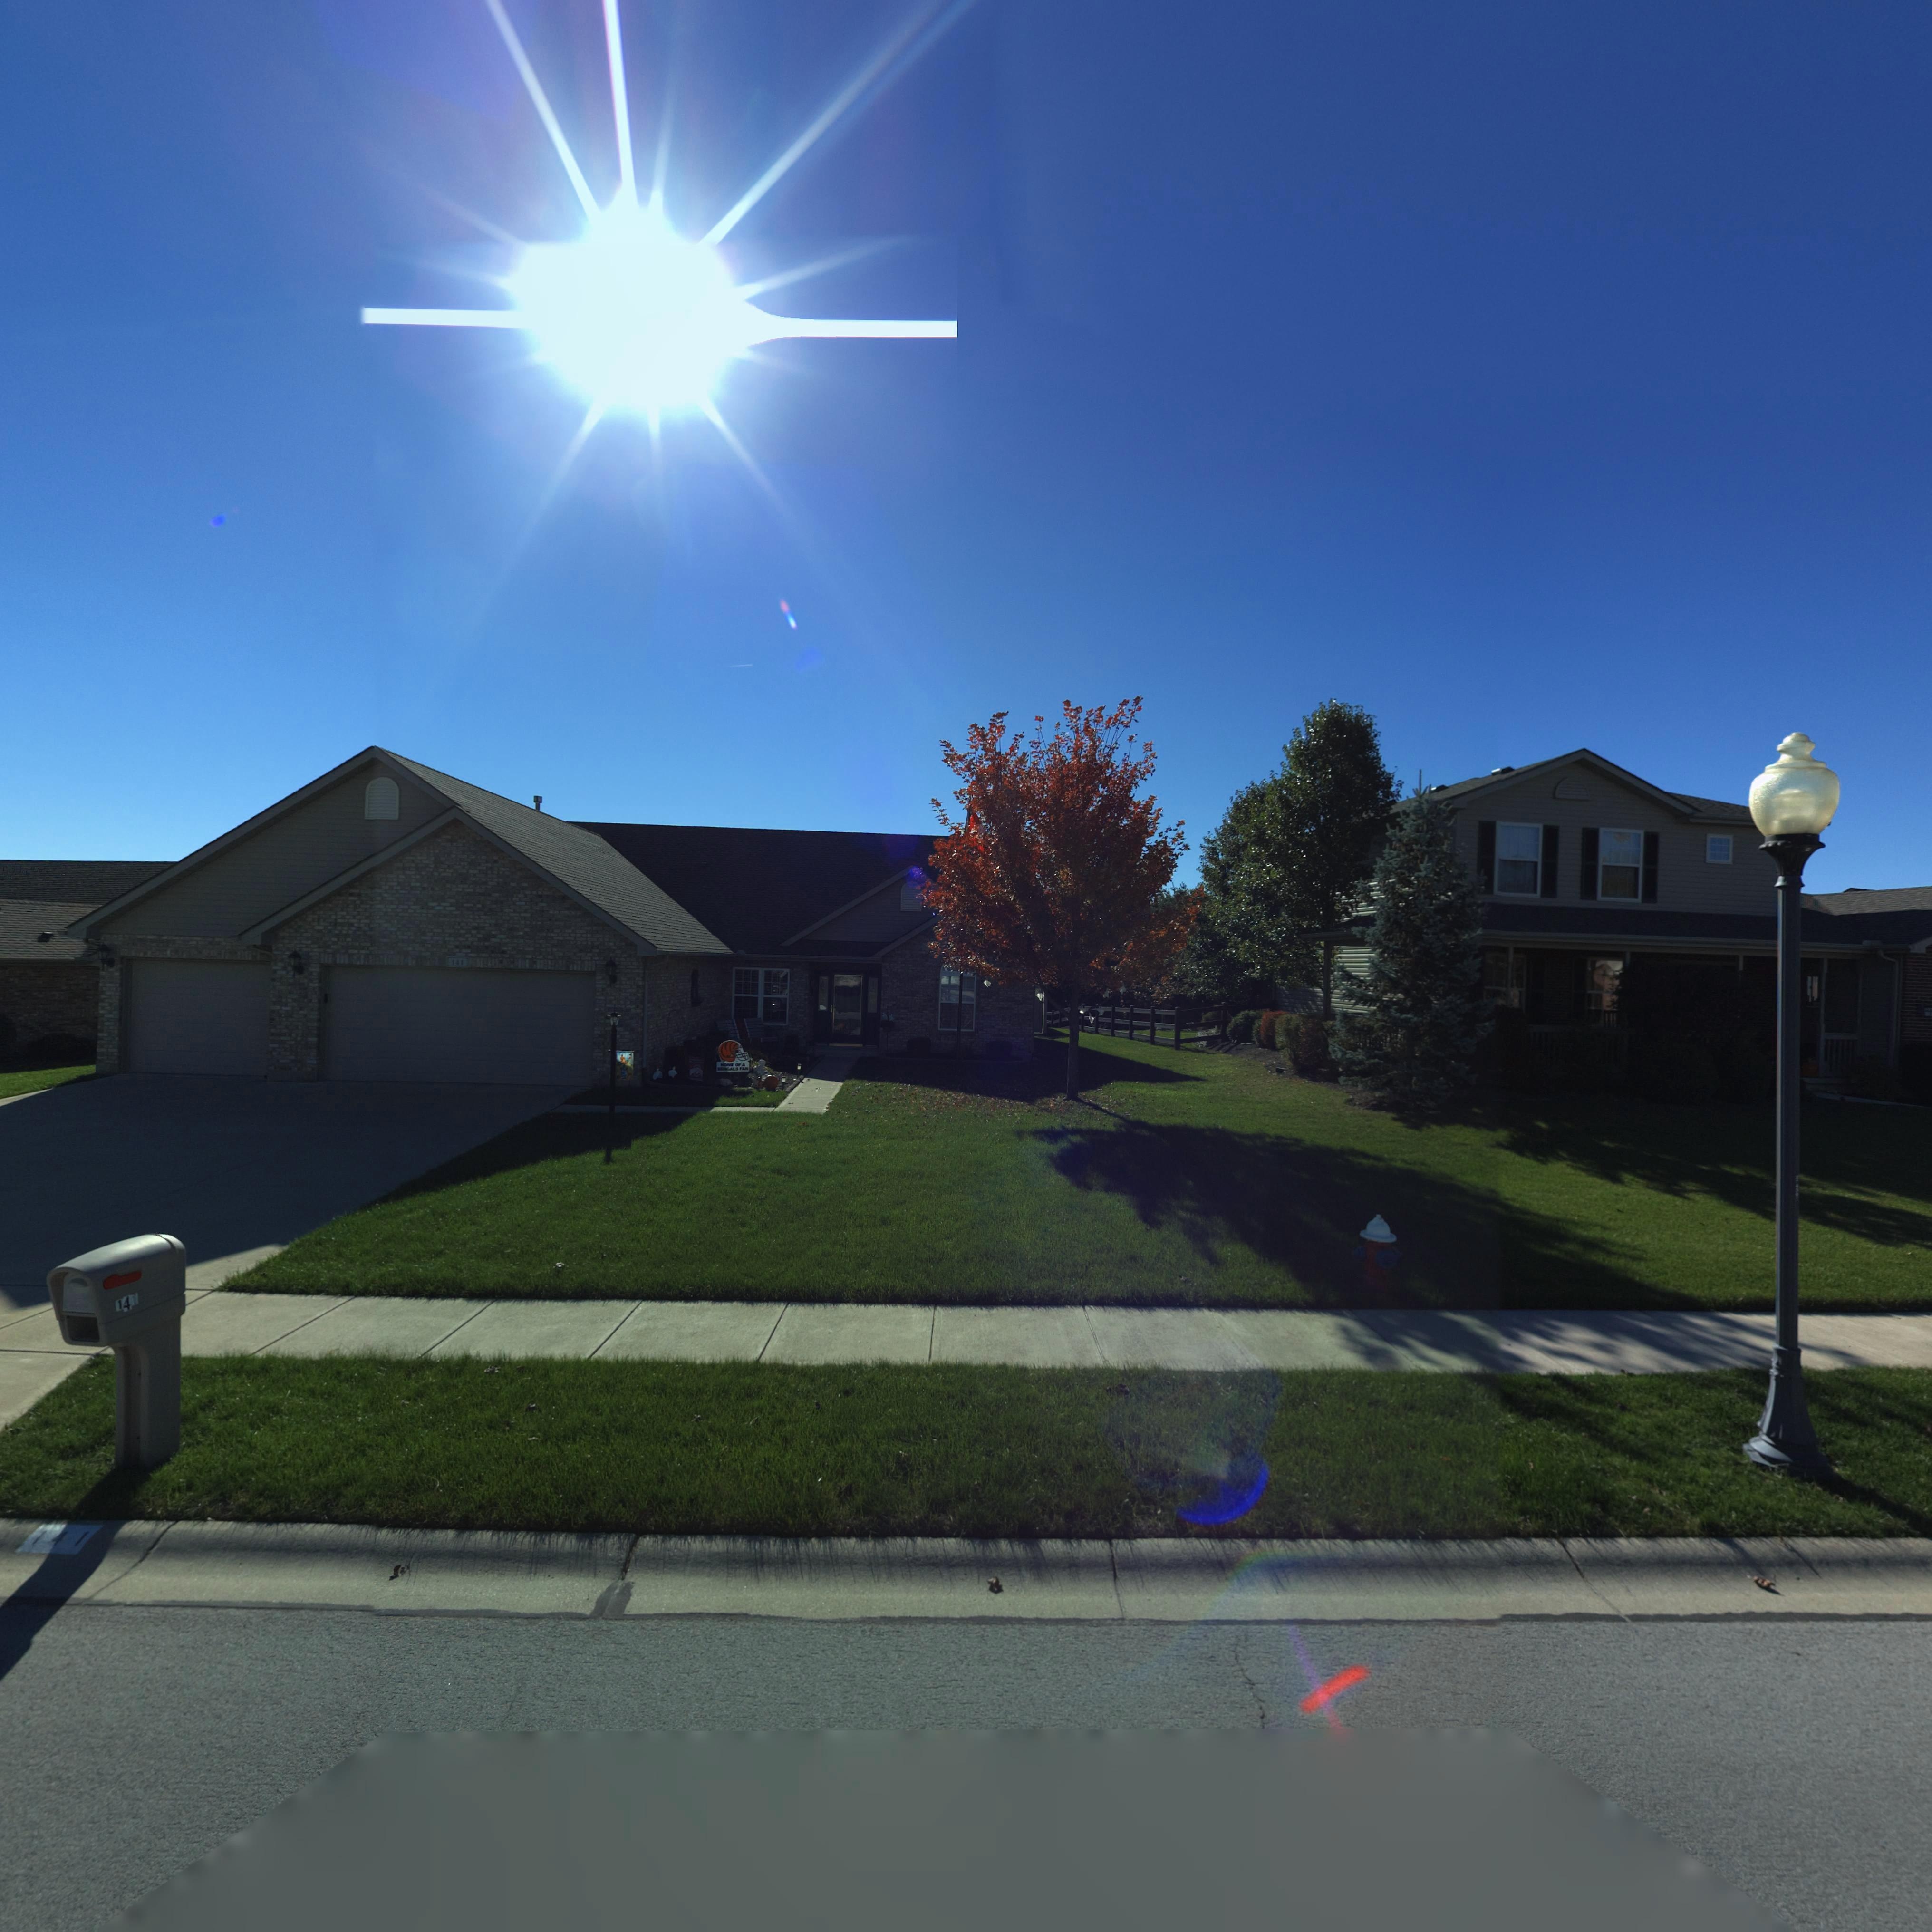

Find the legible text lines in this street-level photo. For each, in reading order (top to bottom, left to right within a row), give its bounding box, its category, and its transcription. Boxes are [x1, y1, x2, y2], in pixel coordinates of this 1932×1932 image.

[451, 959, 464, 966] StreetNumber: 141
[116, 1293, 138, 1311] StreetNumber: 141
[28, 1529, 93, 1548] StreetNumber: 141